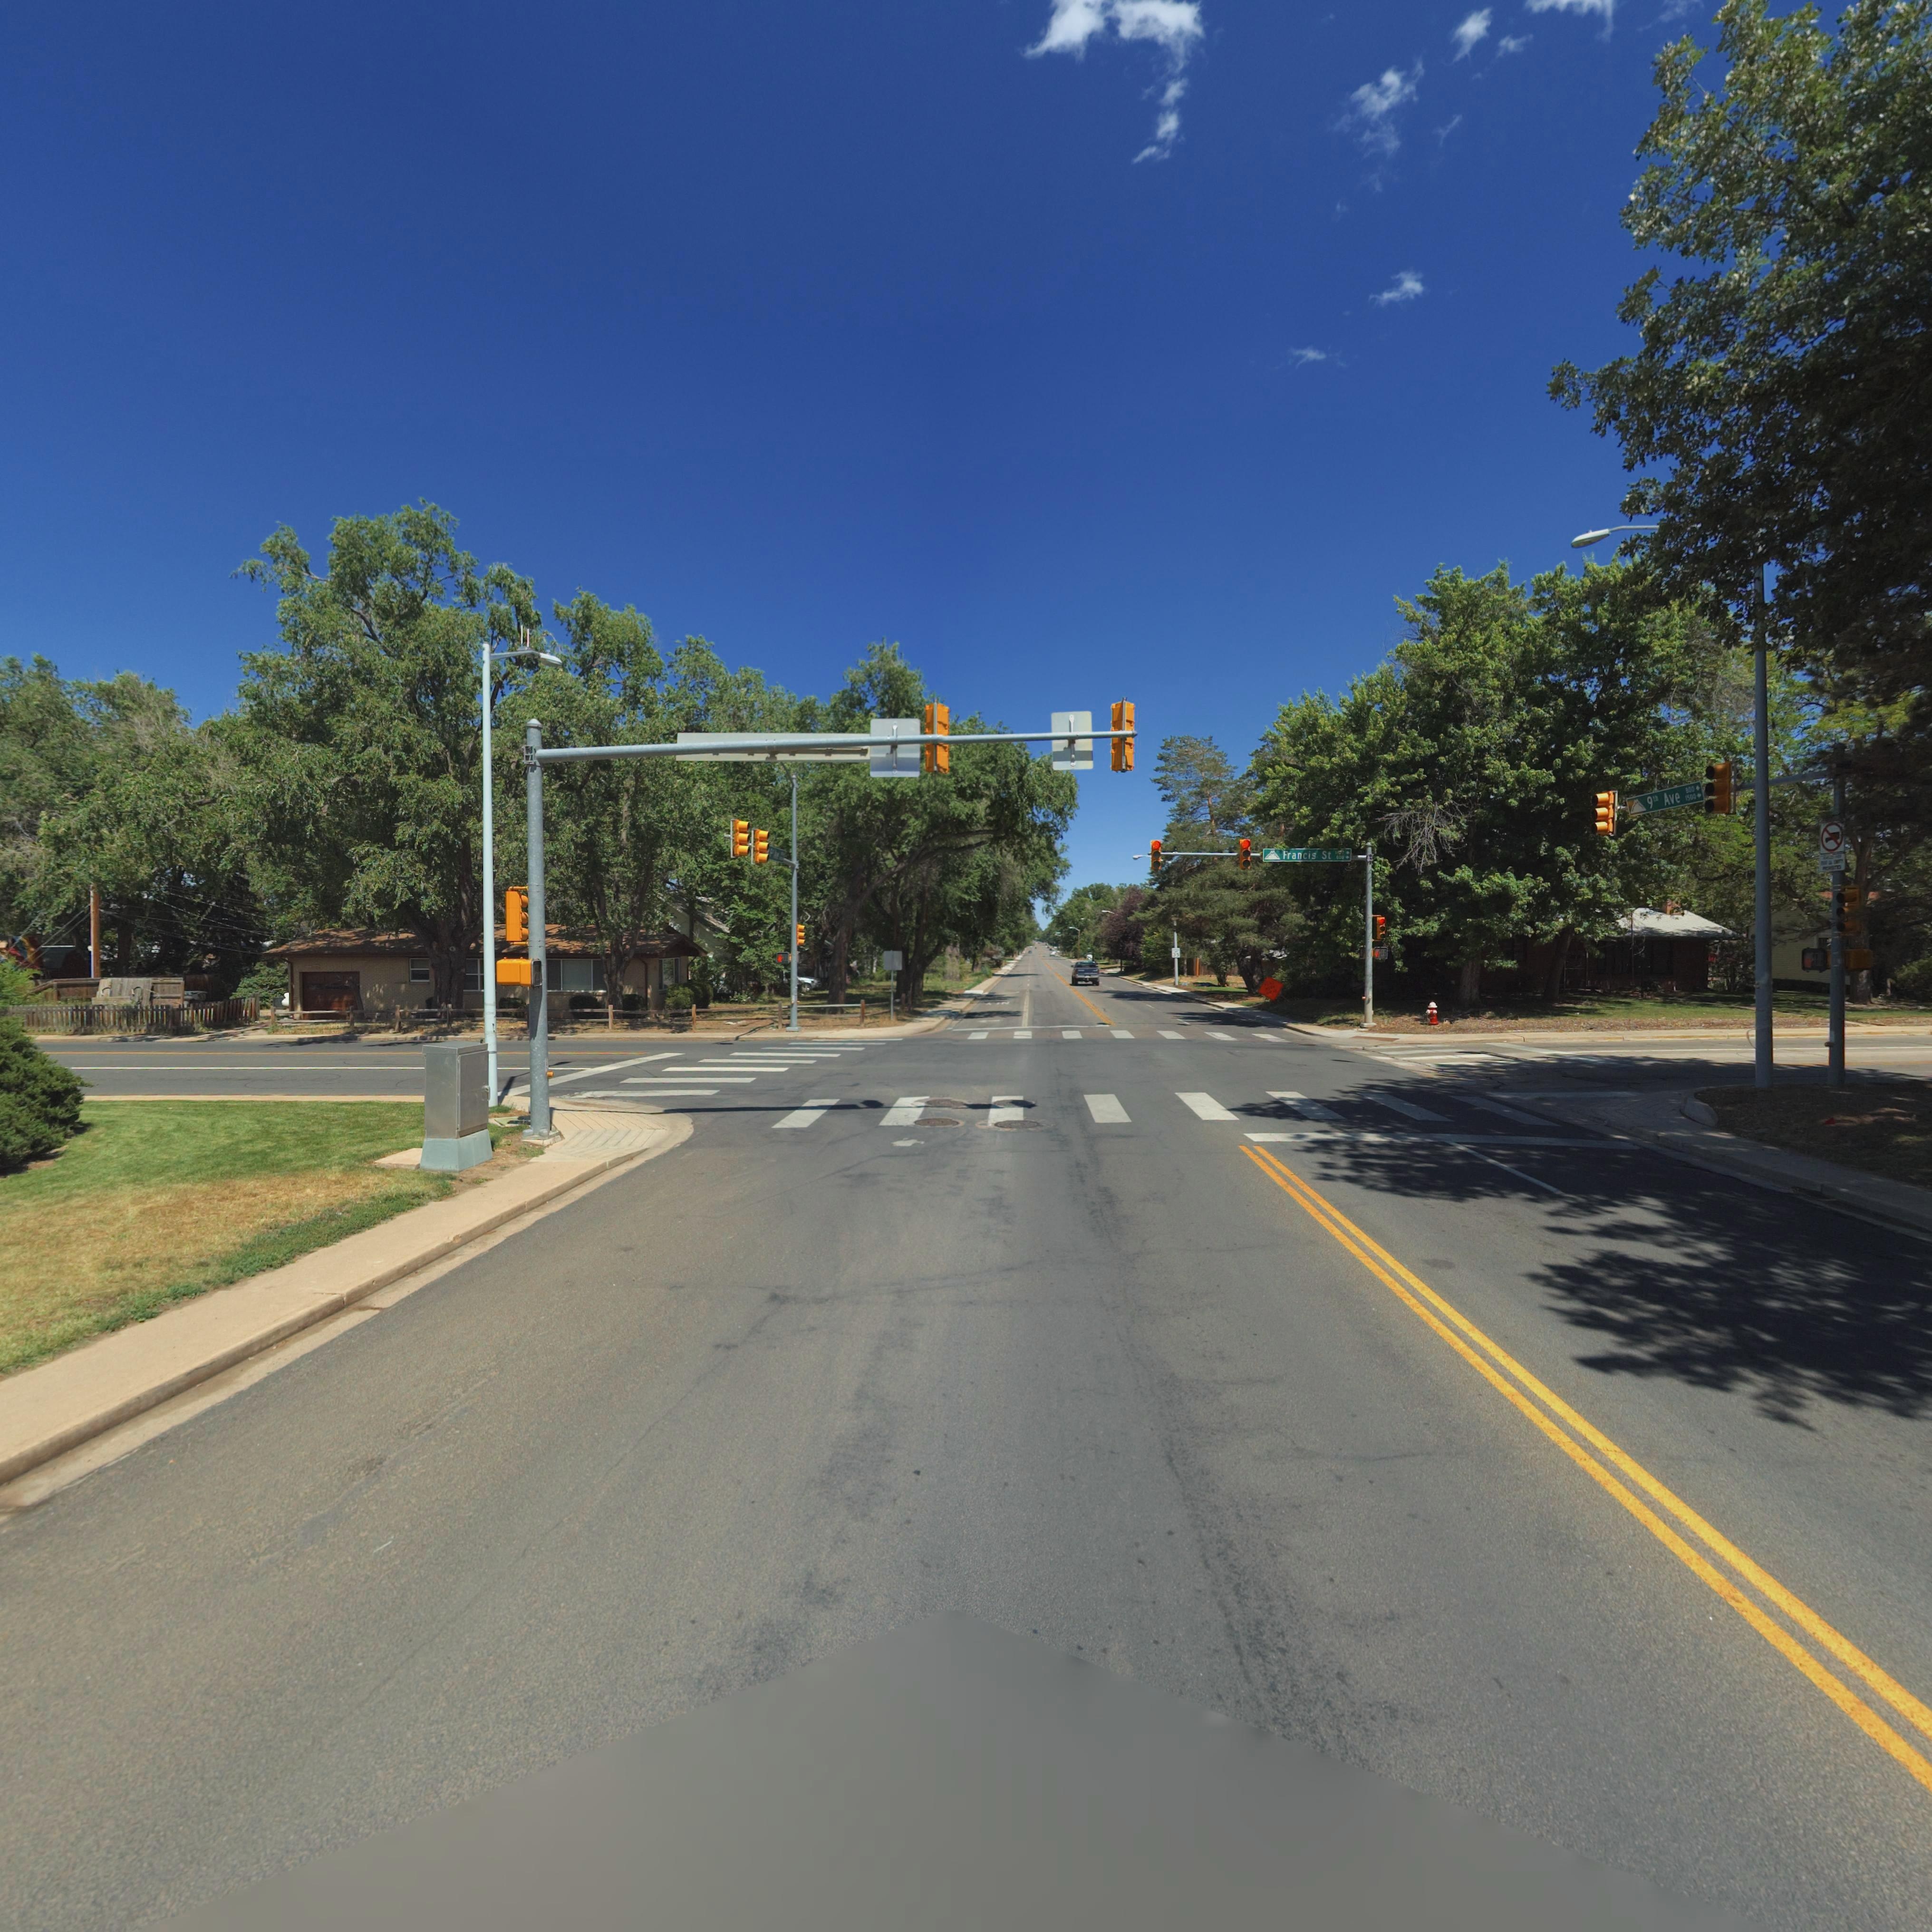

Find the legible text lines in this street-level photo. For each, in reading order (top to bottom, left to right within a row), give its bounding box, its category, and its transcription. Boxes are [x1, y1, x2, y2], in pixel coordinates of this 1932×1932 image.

[1685, 785, 1695, 793] StreetNumberRange: 800
[1647, 792, 1681, 809] StreetName: 9** Ave
[1684, 792, 1696, 801] StreetNumberRange: 1500
[1283, 850, 1331, 860] StreetName: Francis St
[1335, 854, 1344, 860] StreetNumberRange: *0*